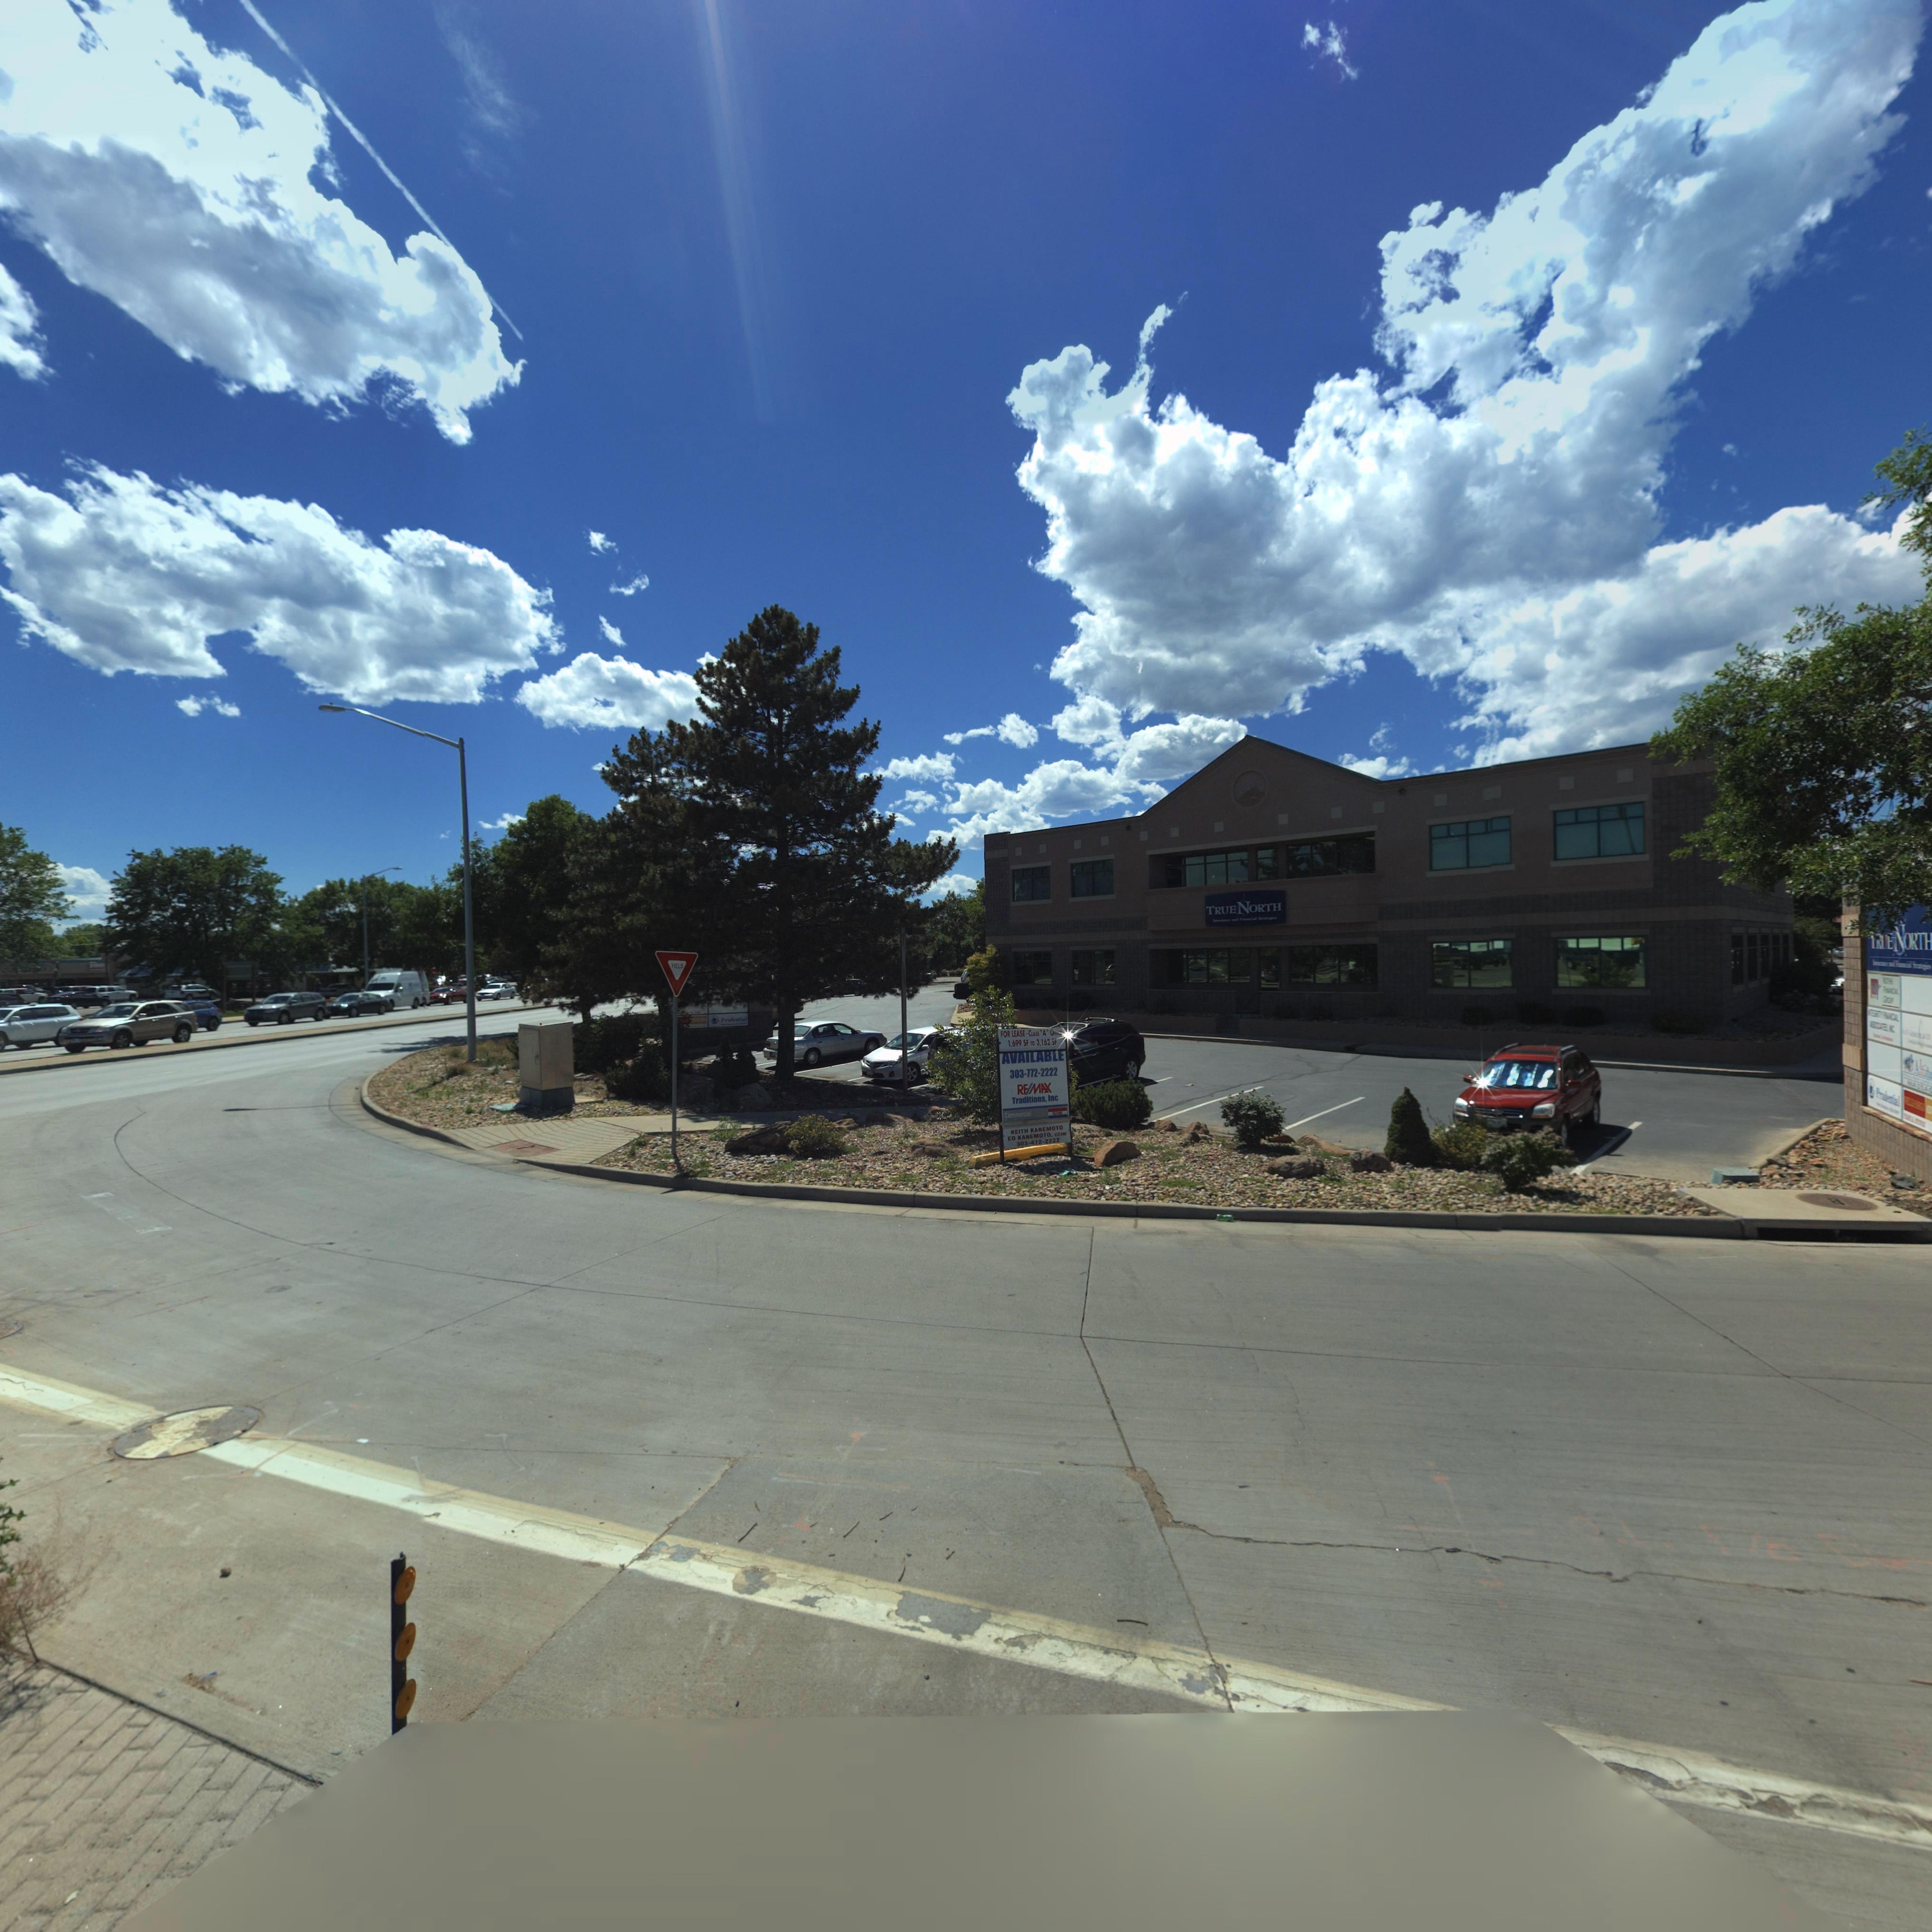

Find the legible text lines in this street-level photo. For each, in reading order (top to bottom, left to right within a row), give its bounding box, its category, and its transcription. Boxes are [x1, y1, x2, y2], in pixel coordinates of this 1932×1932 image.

[1205, 900, 1283, 915] BusinessName: TRUENORTH